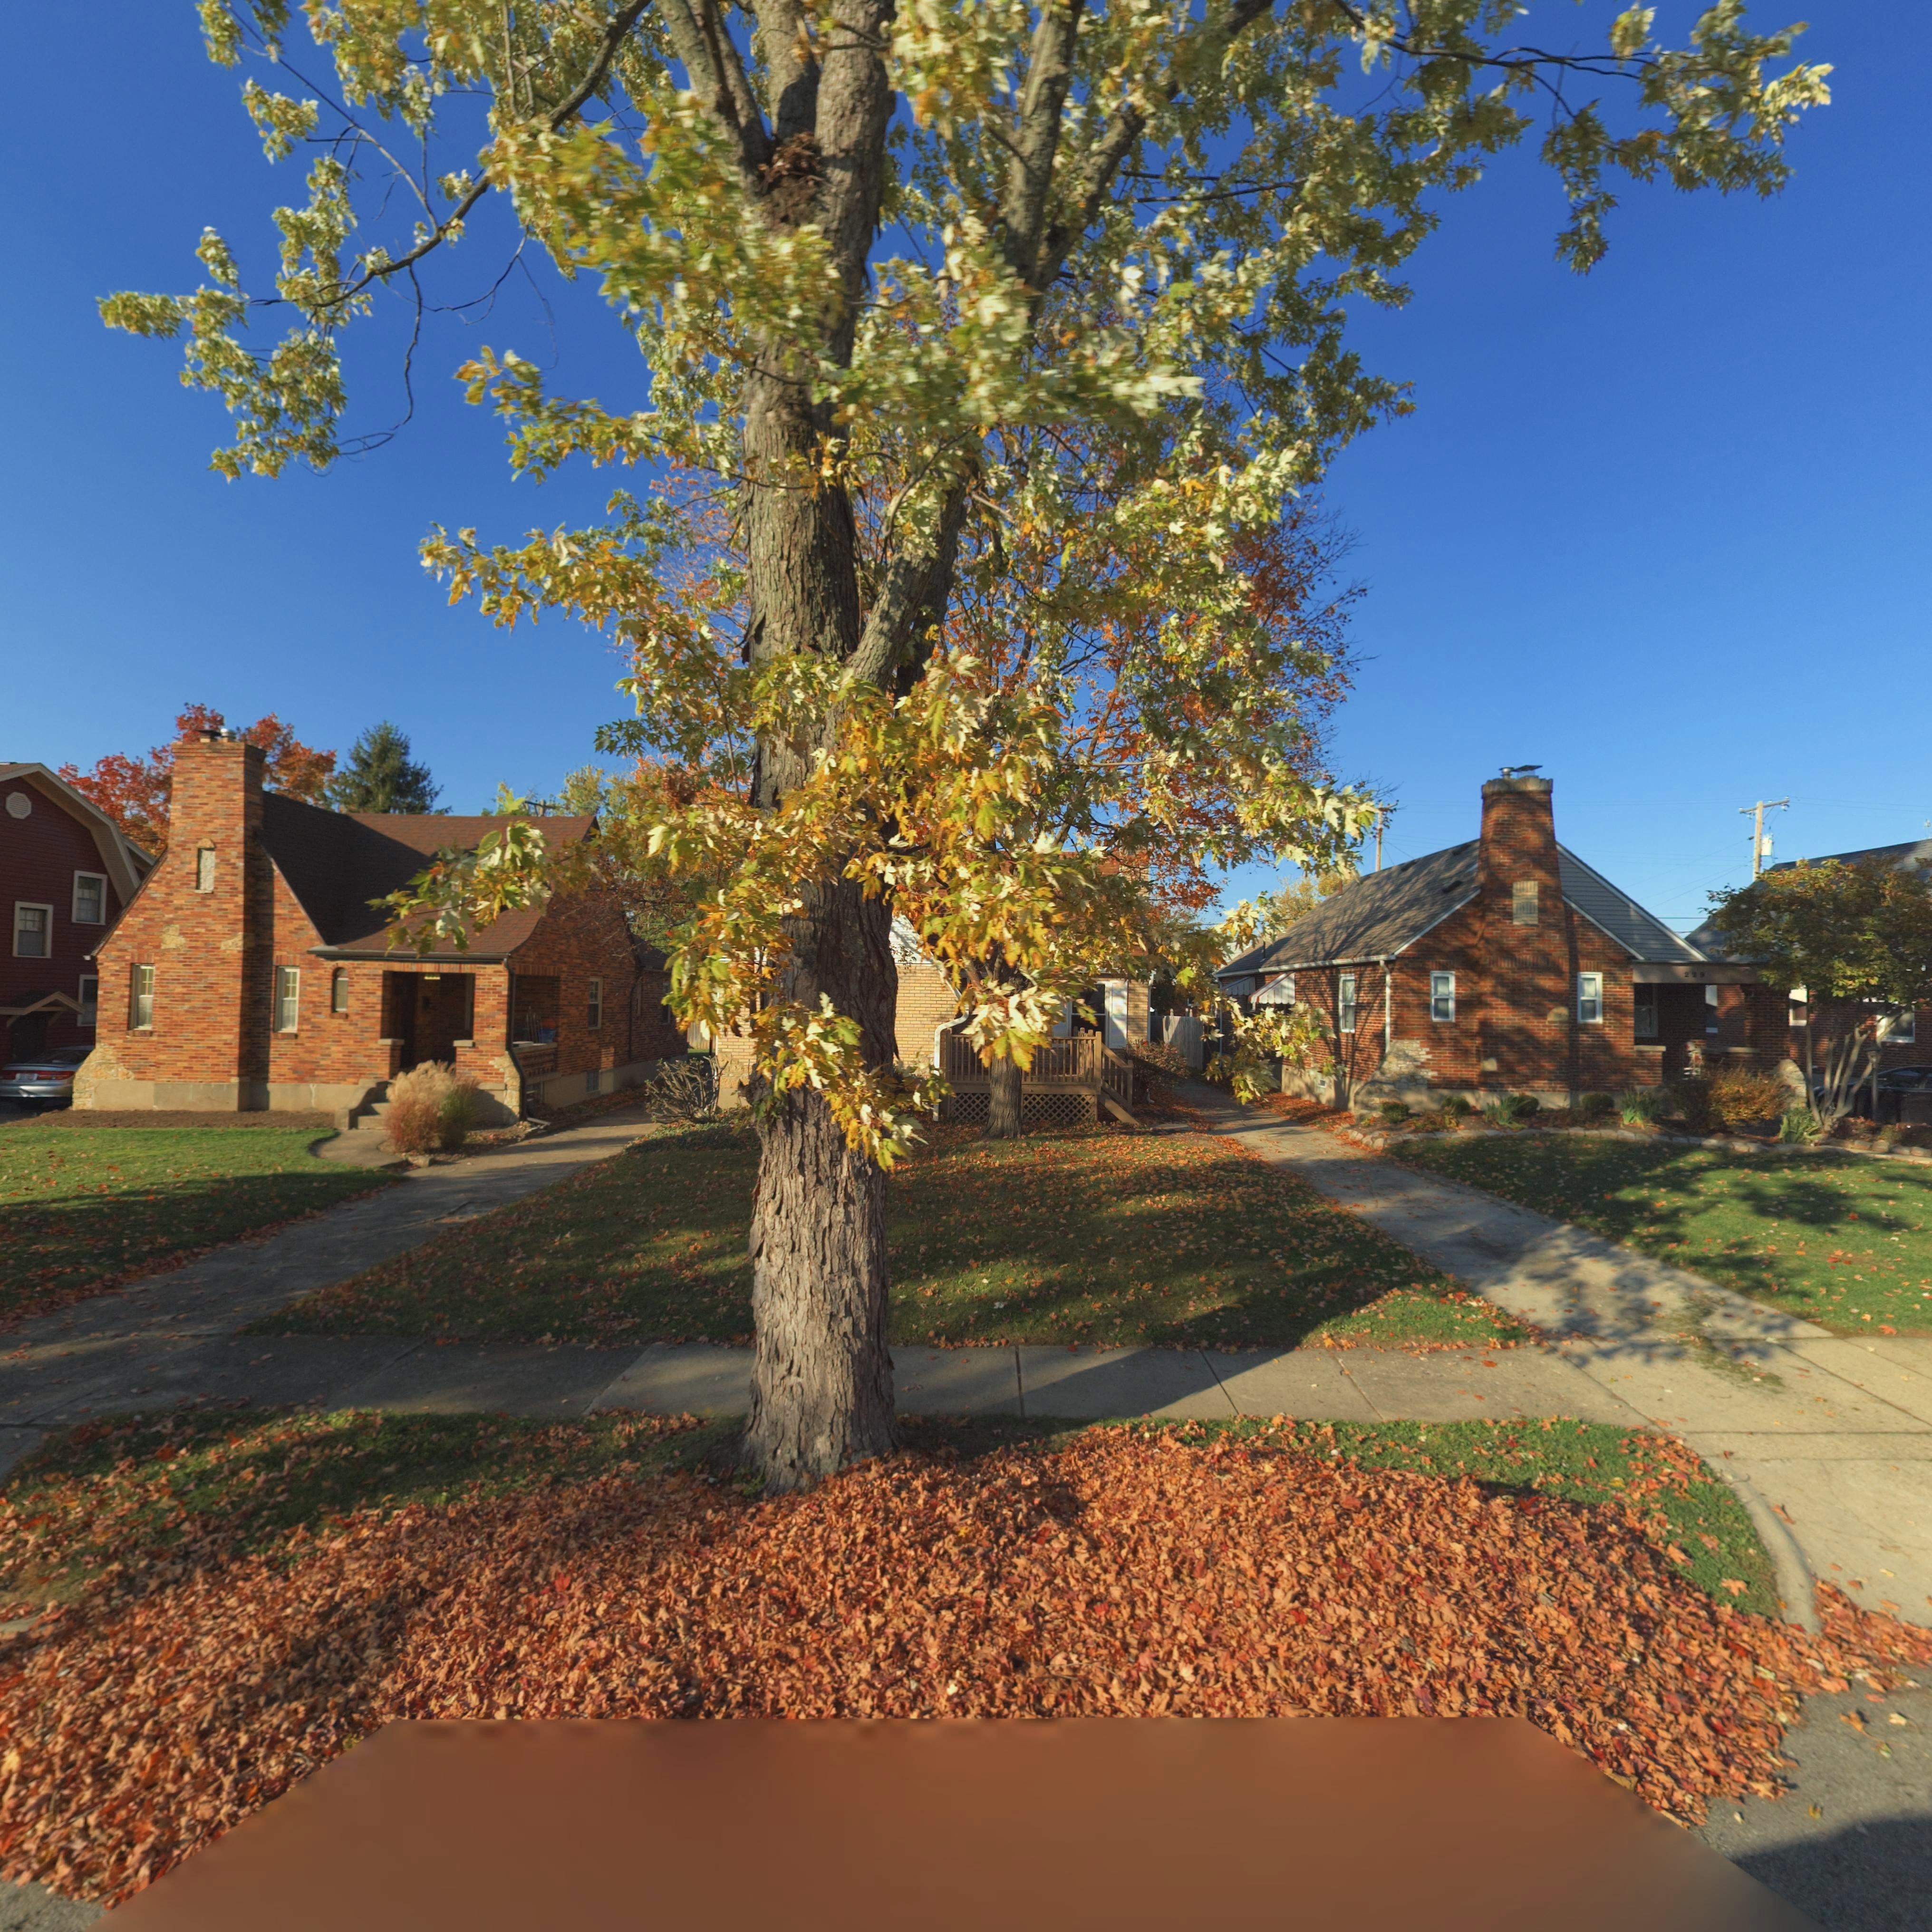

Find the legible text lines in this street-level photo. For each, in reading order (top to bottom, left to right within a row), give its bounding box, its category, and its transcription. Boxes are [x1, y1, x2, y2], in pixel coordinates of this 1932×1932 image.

[1684, 972, 1705, 978] StreetNumber: 229